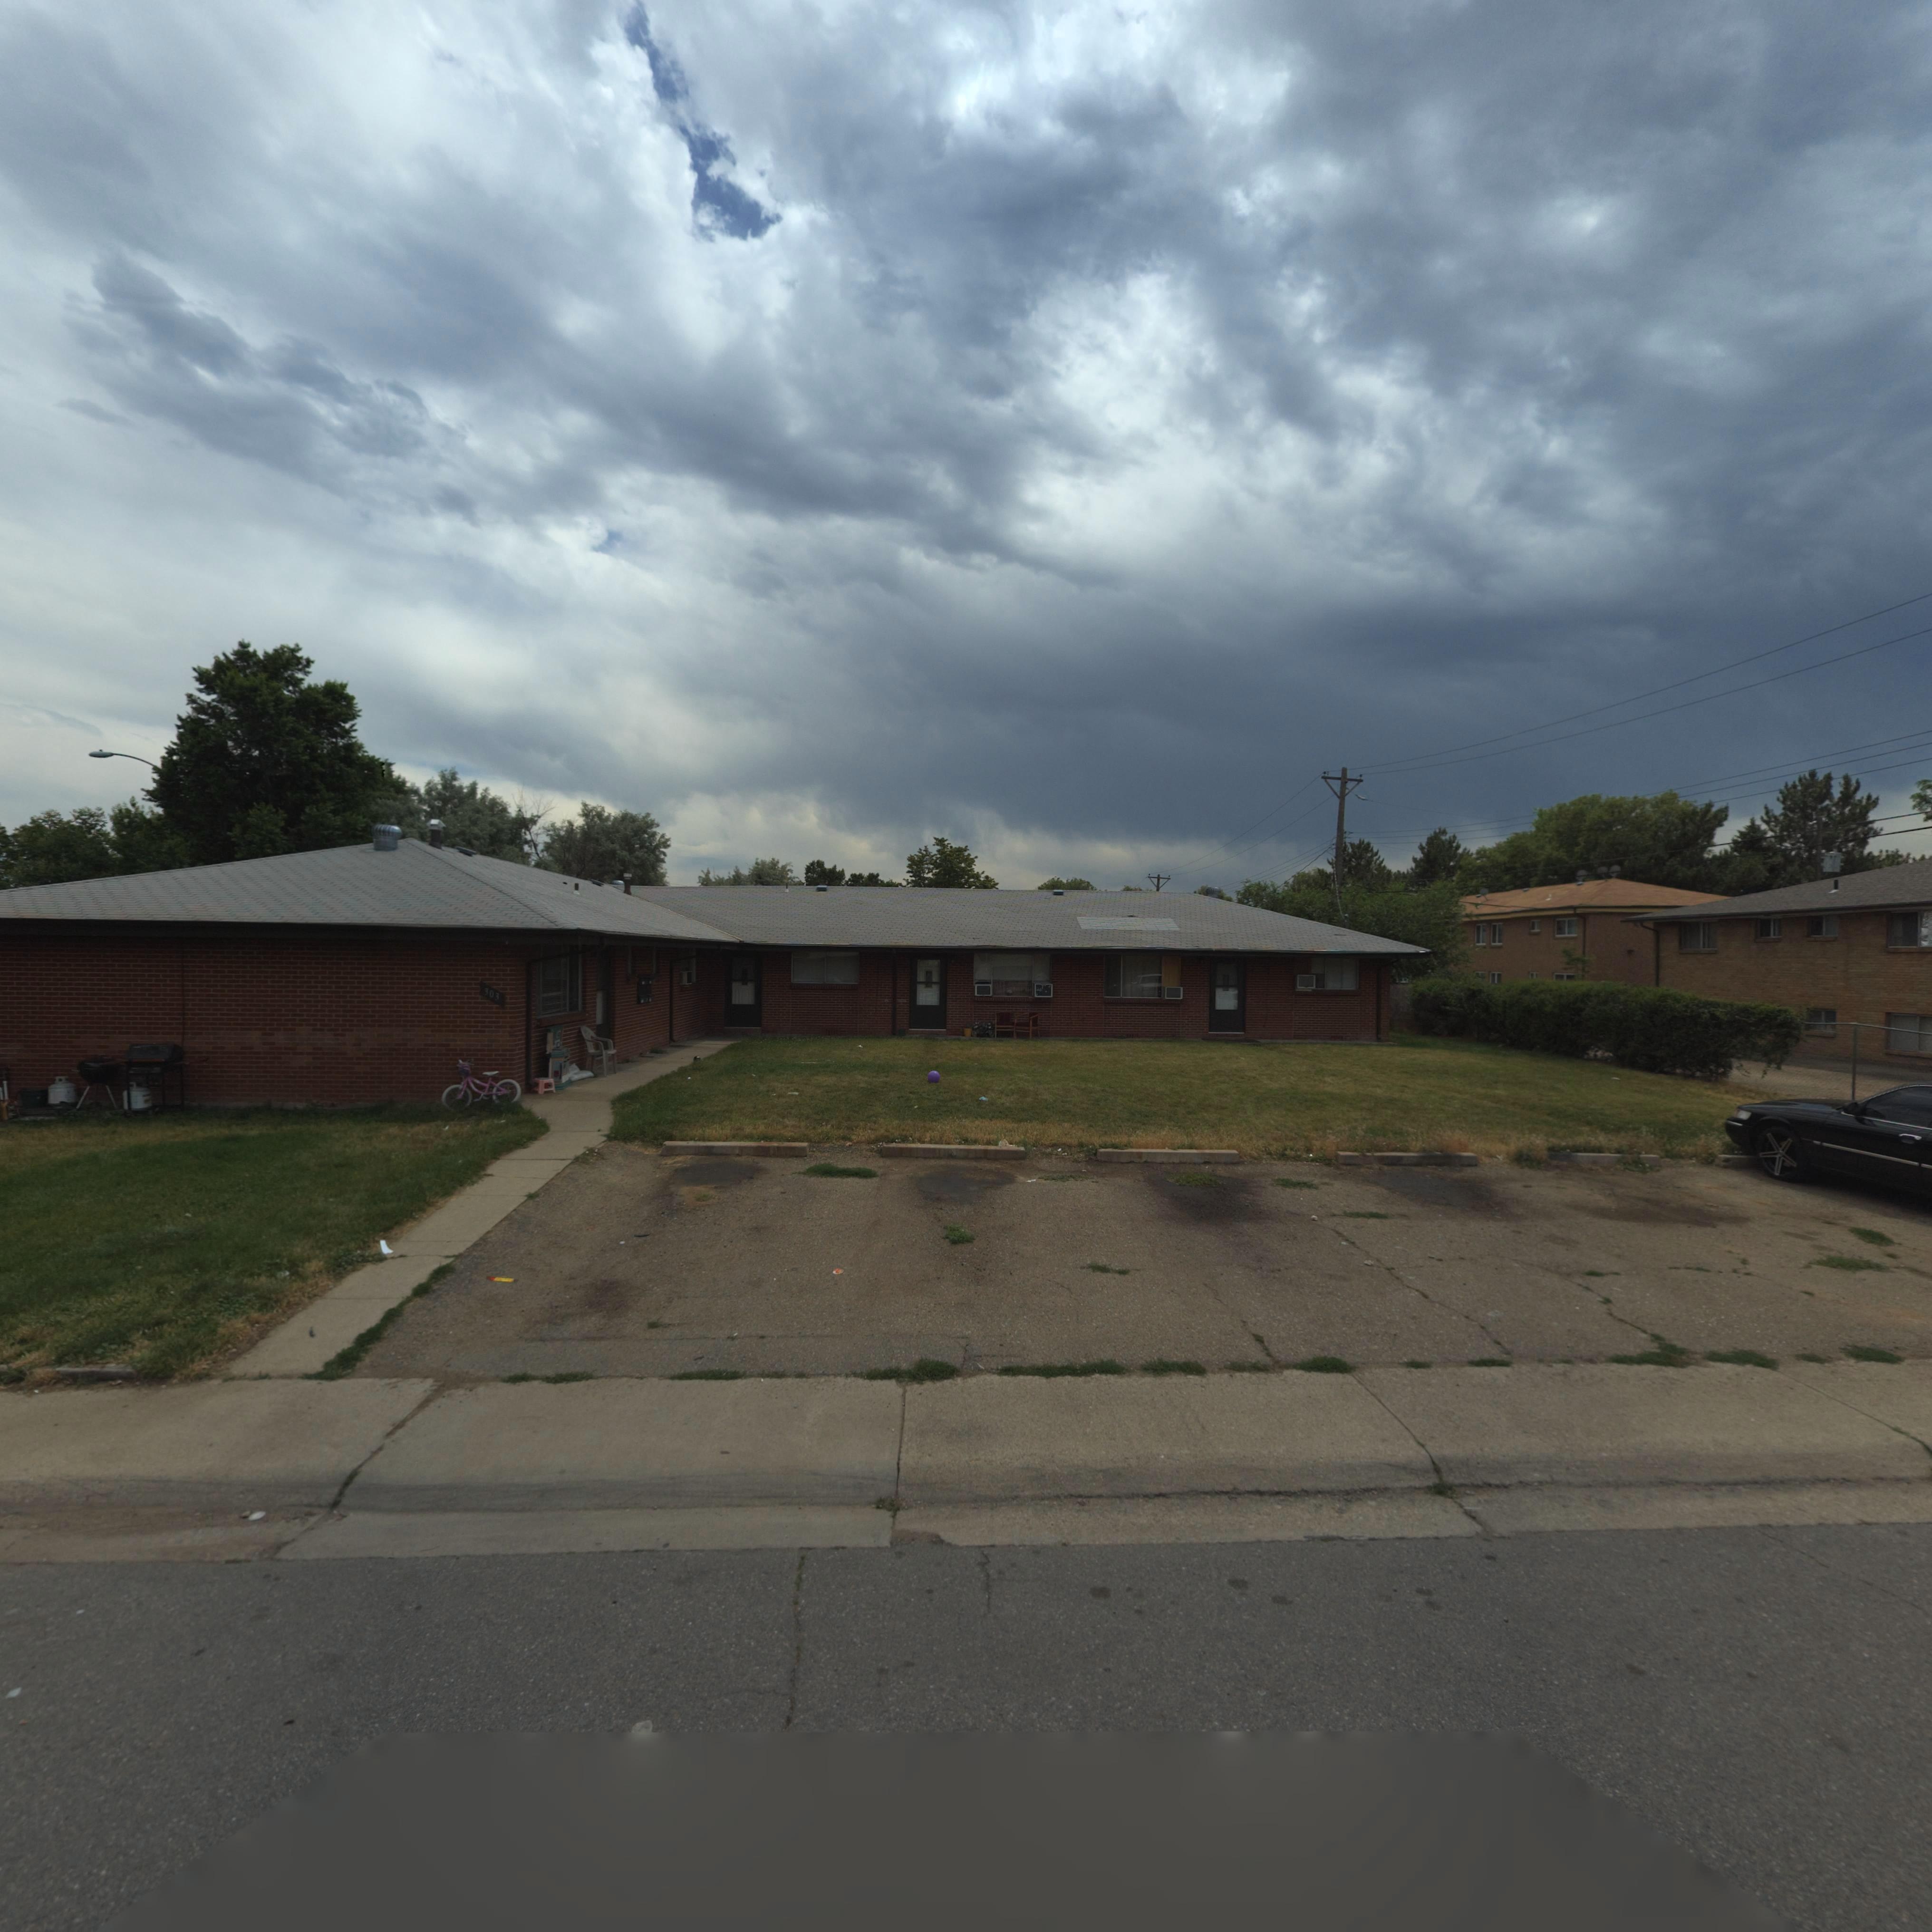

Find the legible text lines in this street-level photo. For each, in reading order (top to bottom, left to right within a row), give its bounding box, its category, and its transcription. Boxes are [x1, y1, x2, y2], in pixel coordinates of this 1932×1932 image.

[483, 987, 499, 1001] StreetNumber: 303